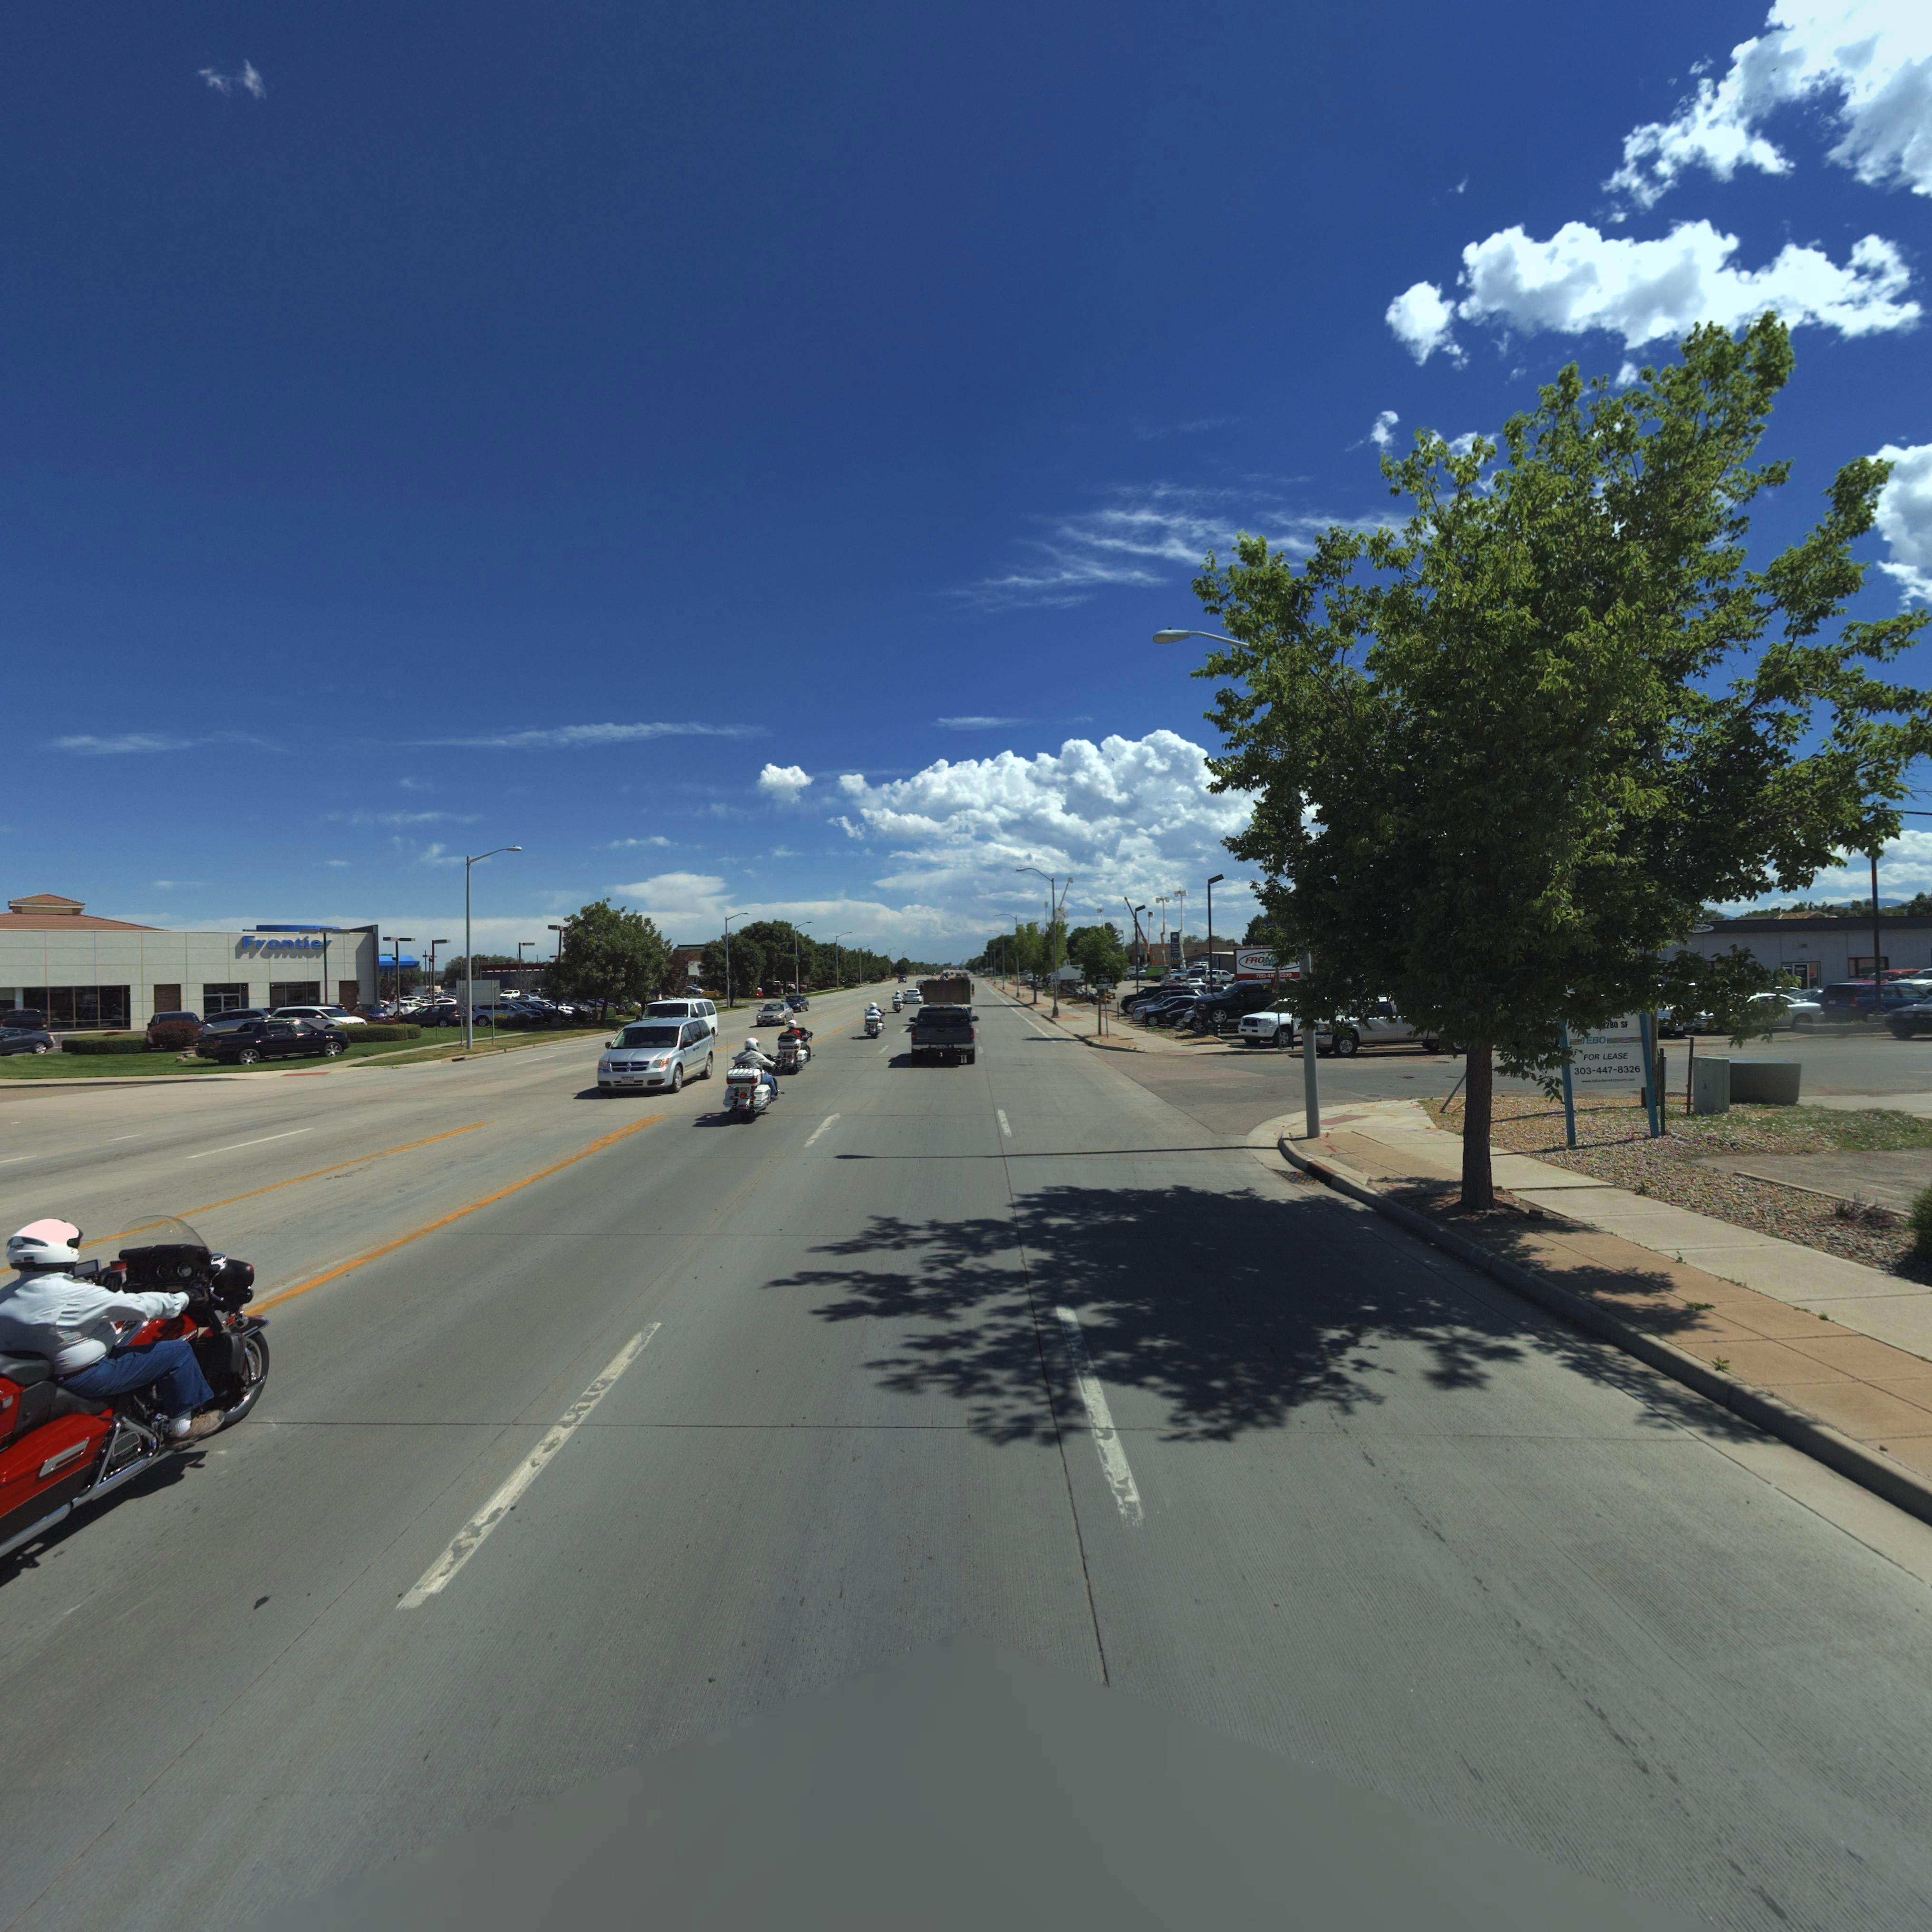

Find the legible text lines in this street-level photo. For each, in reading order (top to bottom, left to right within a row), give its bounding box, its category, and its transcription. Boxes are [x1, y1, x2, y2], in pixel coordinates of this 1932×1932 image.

[242, 935, 322, 948] BusinessName: Frontie
[1245, 956, 1265, 963] BusinessName: FRO
[1263, 959, 1273, 965] StreetName: GRA